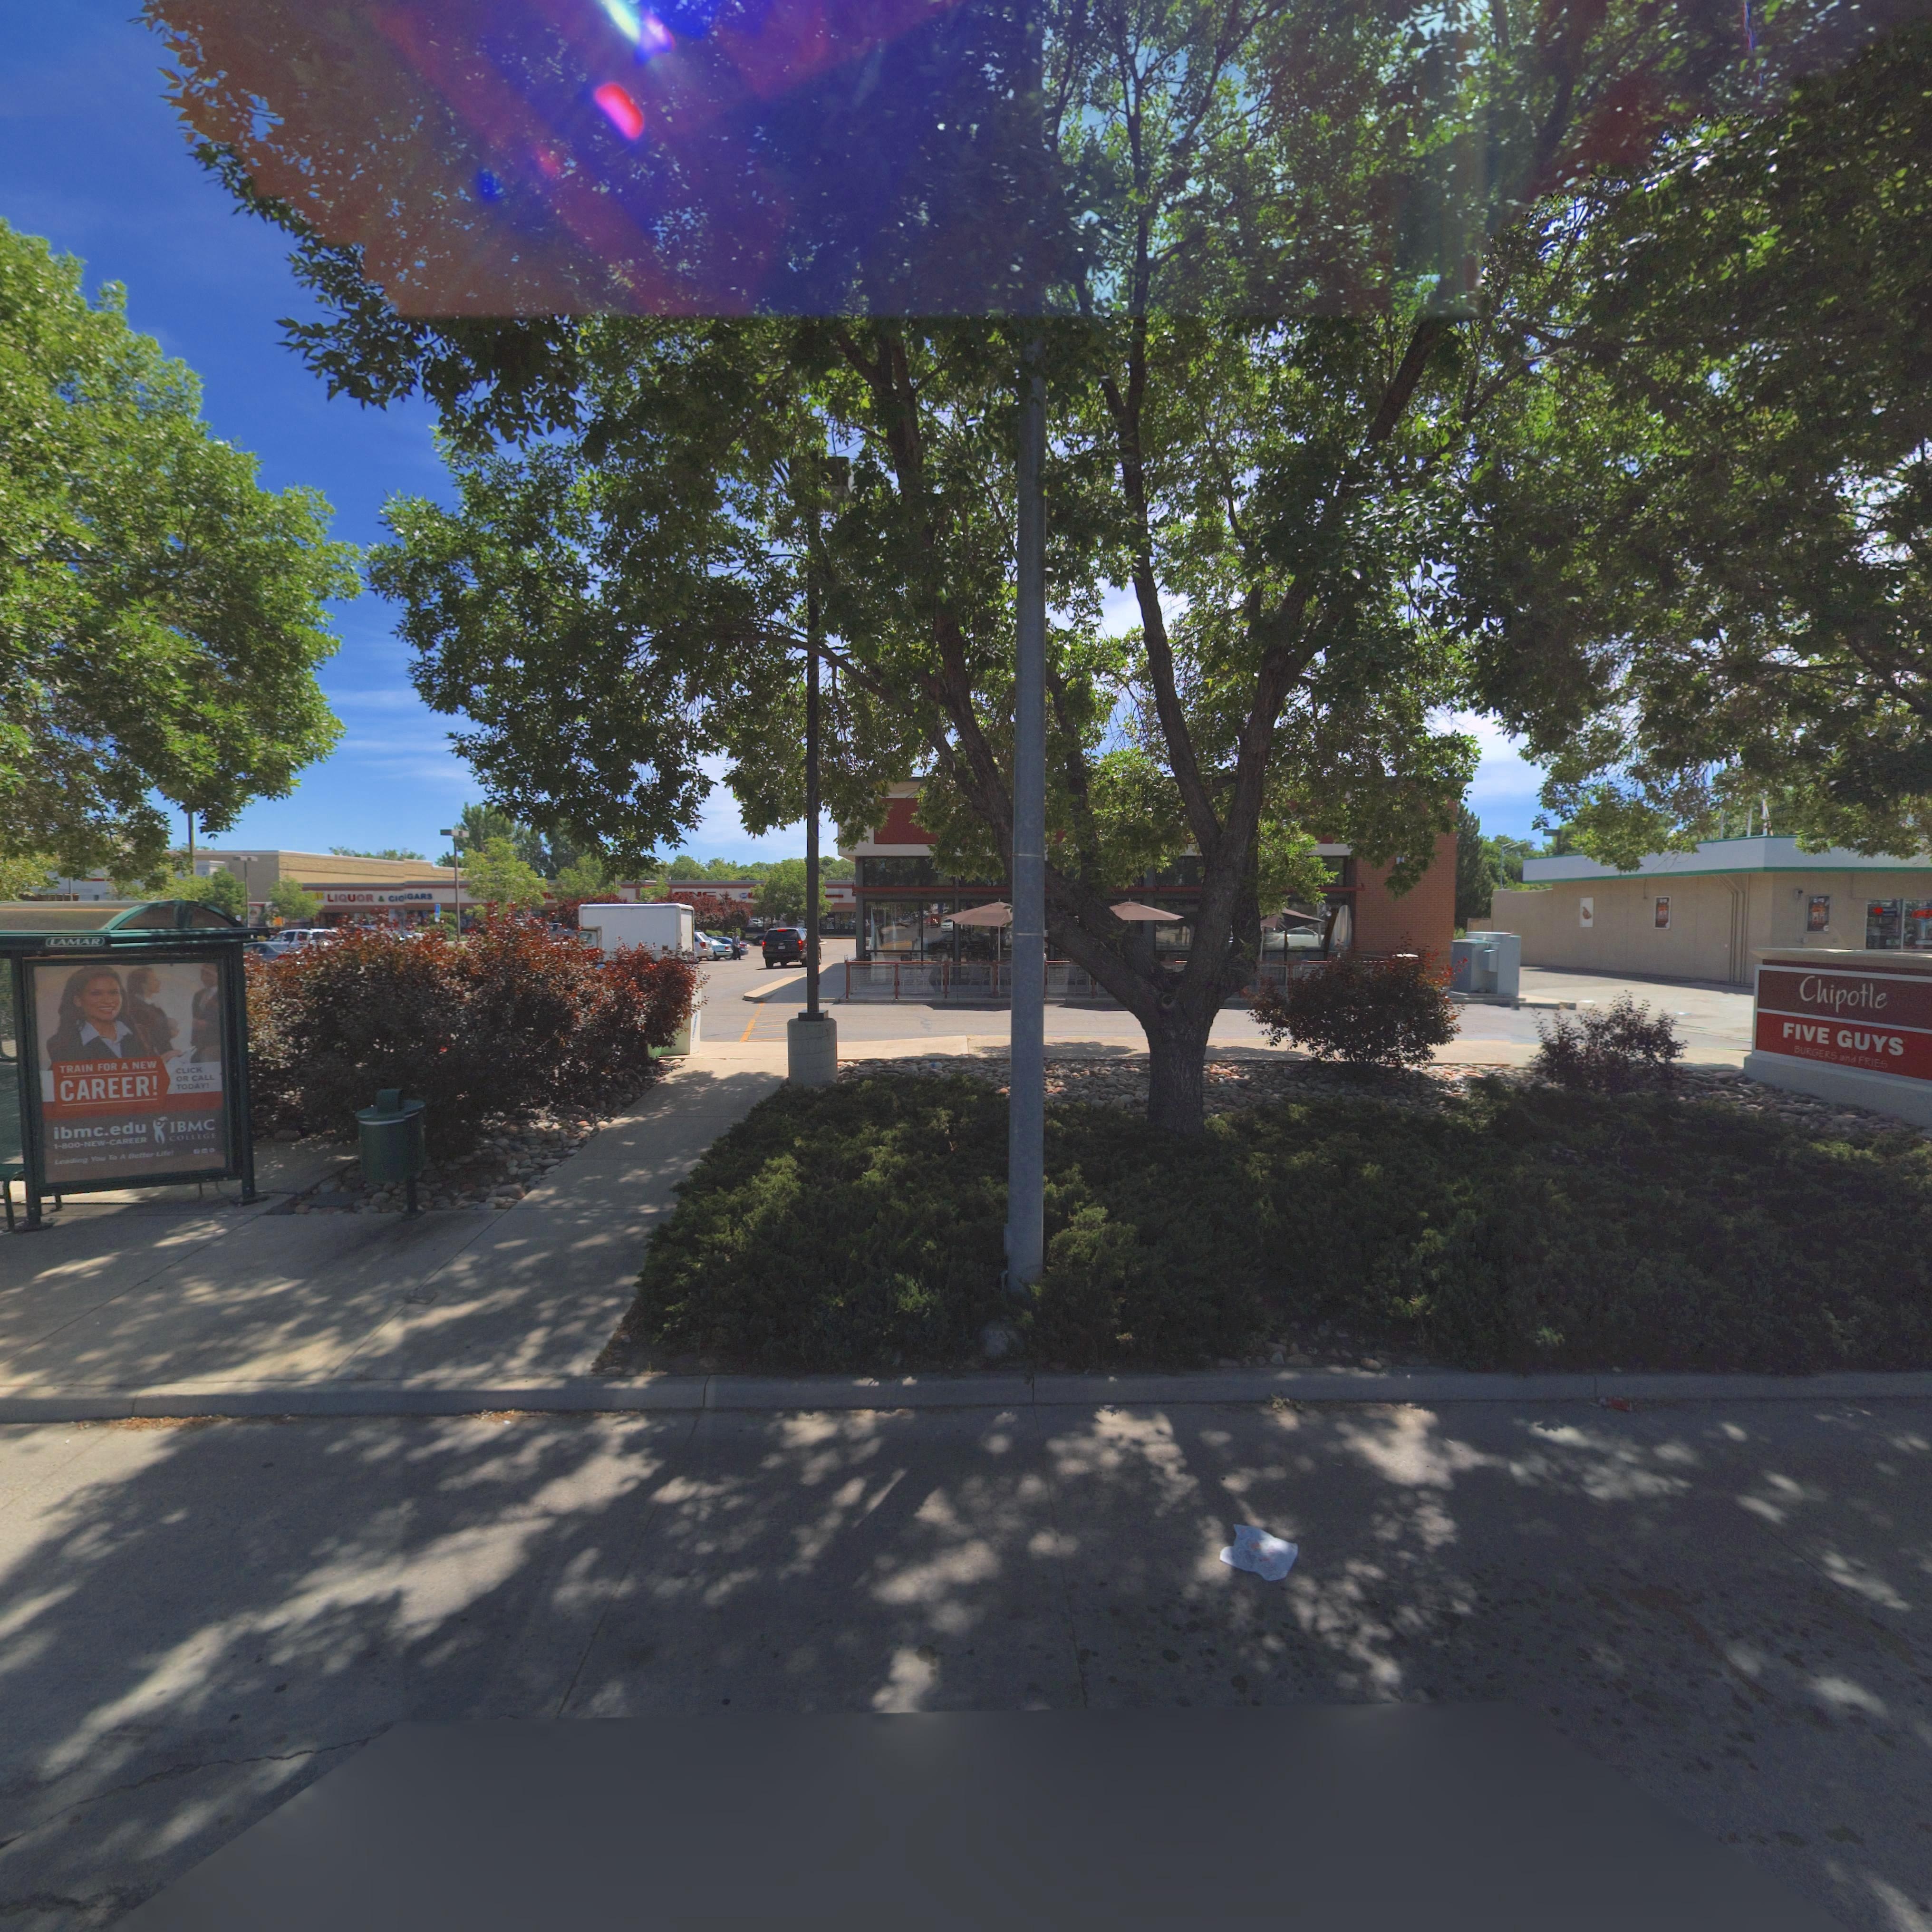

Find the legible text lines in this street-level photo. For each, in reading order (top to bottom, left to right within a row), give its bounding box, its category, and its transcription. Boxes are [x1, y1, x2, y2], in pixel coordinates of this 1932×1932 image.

[674, 891, 716, 898] BusinessName: **C
[1798, 975, 1888, 1014] BusinessName: Chipotle
[1782, 1022, 1904, 1056] BusinessName: FIVE GUYS